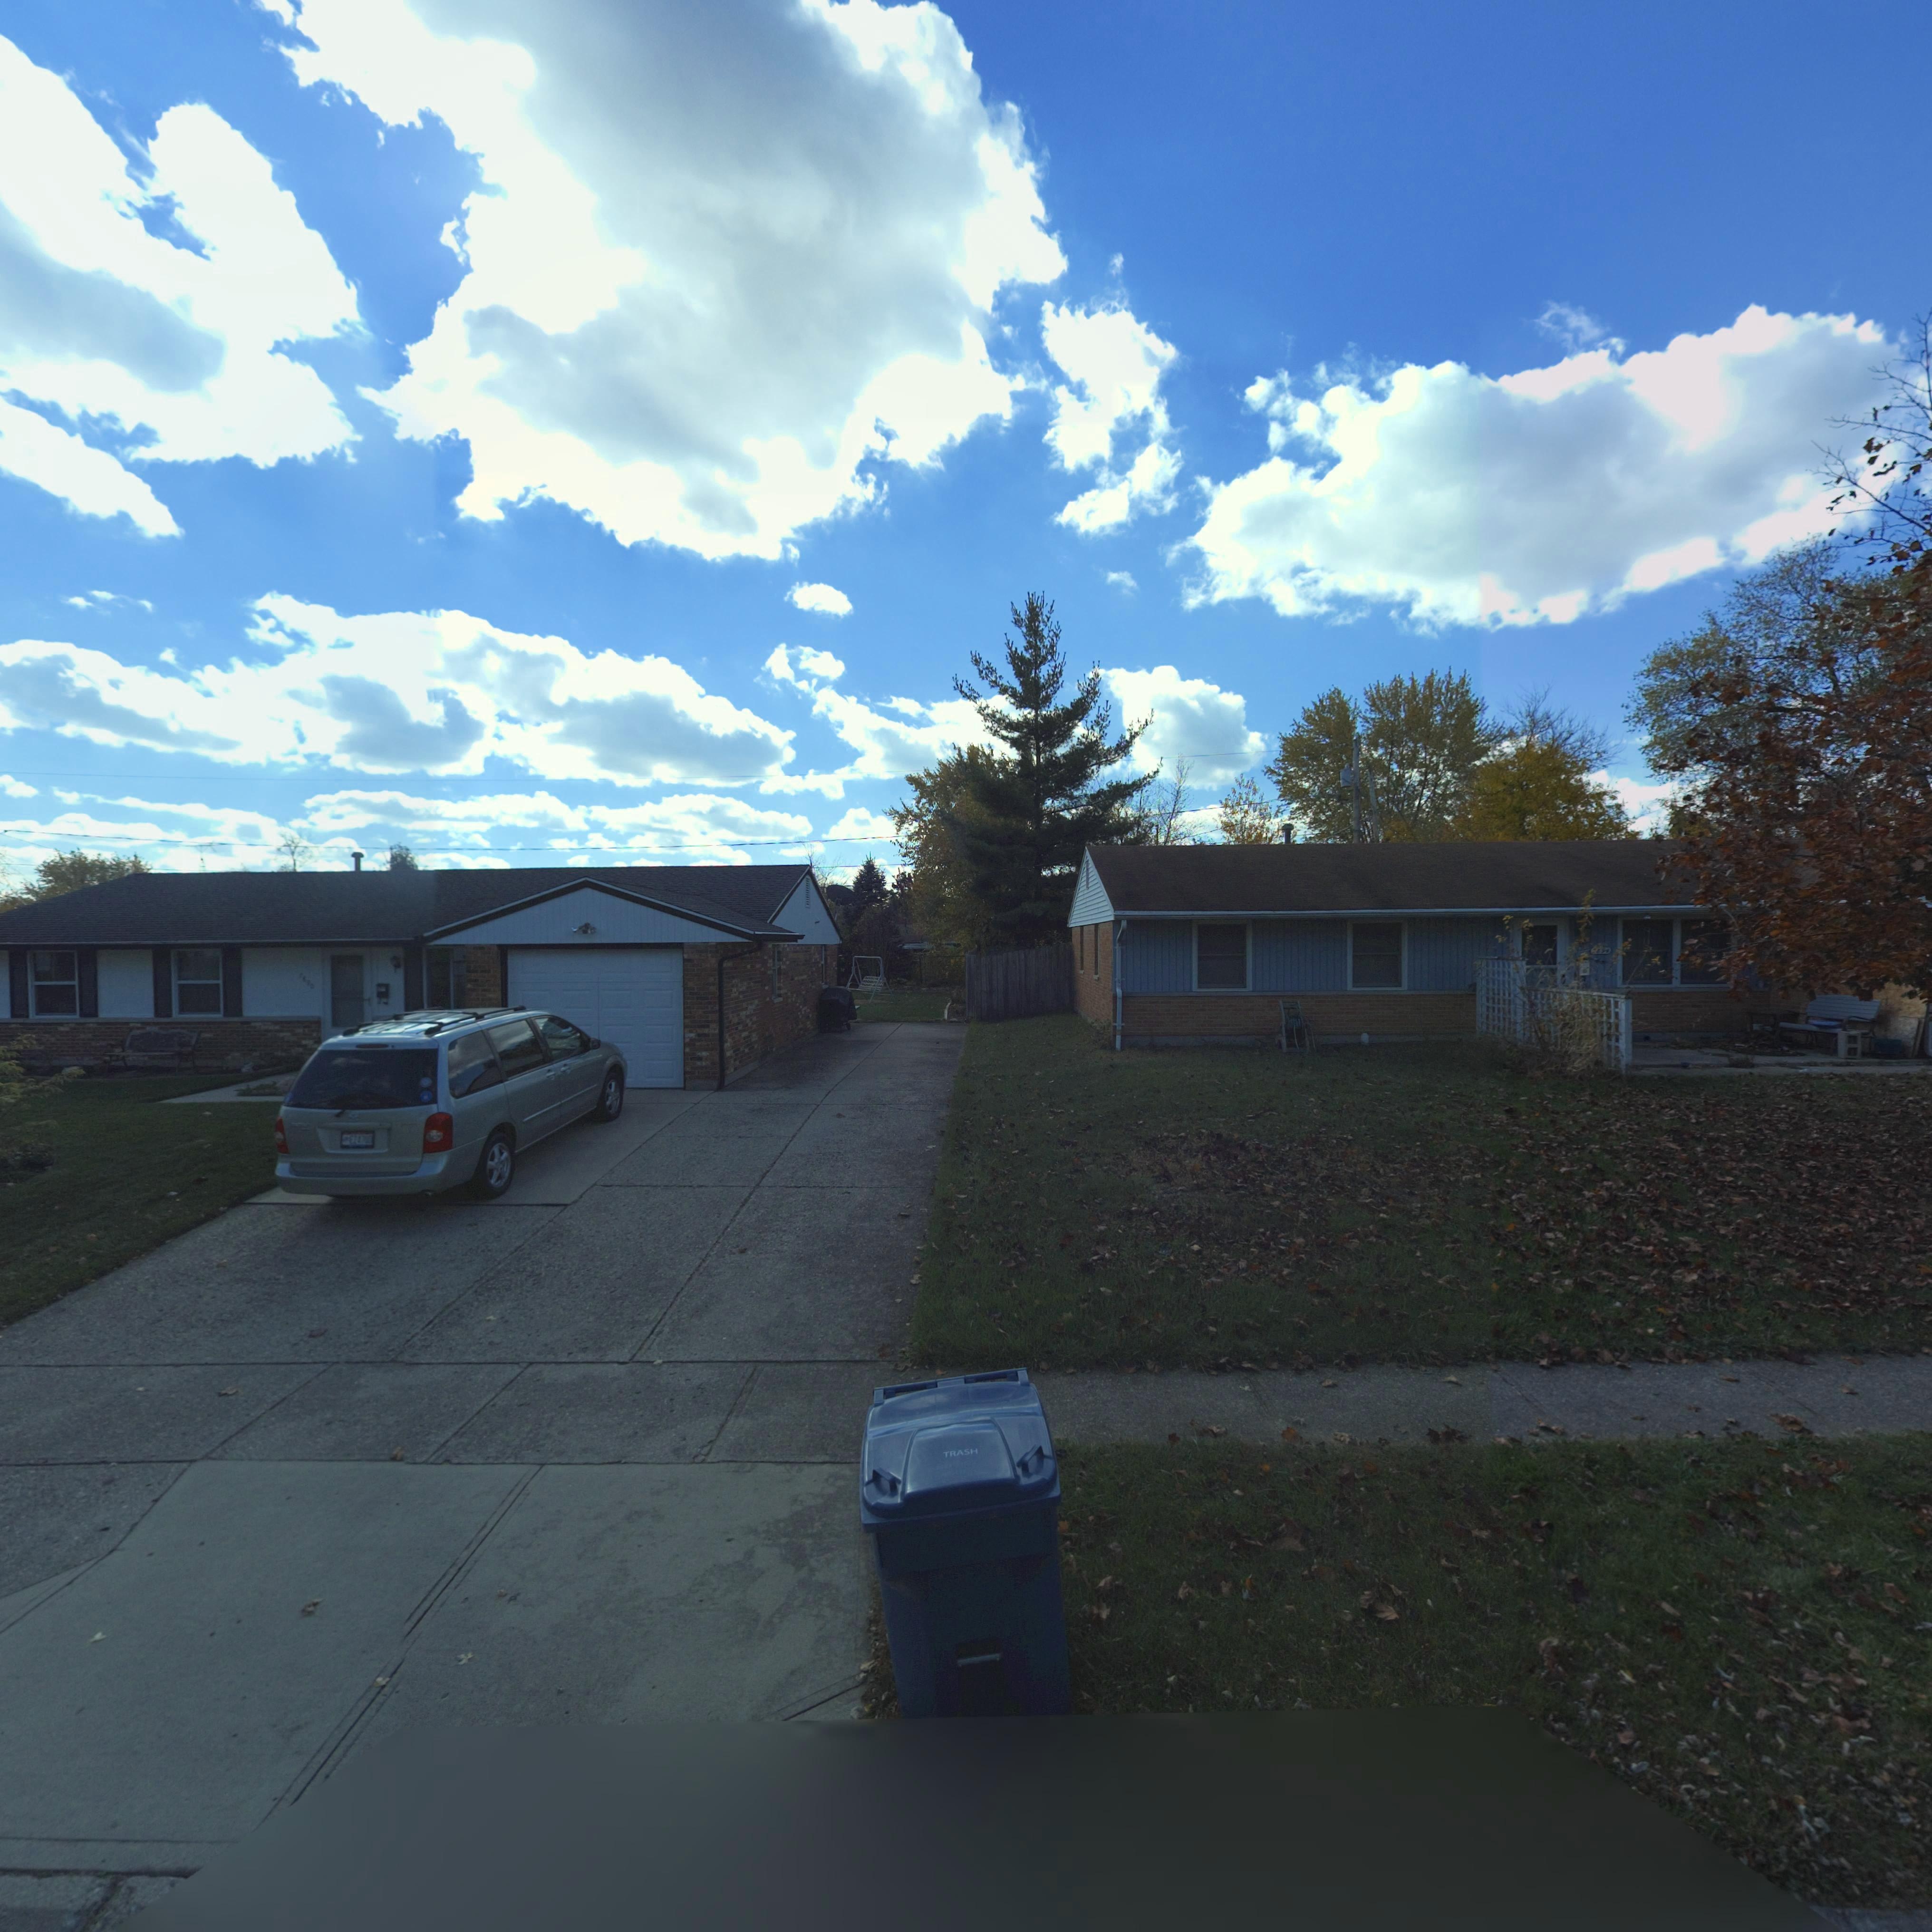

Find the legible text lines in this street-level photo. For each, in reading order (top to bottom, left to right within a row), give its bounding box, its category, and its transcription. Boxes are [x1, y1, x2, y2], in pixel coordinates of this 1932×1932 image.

[1592, 947, 1610, 954] StreetNumber: 7894
[297, 971, 316, 990] StreetNumber: 7890